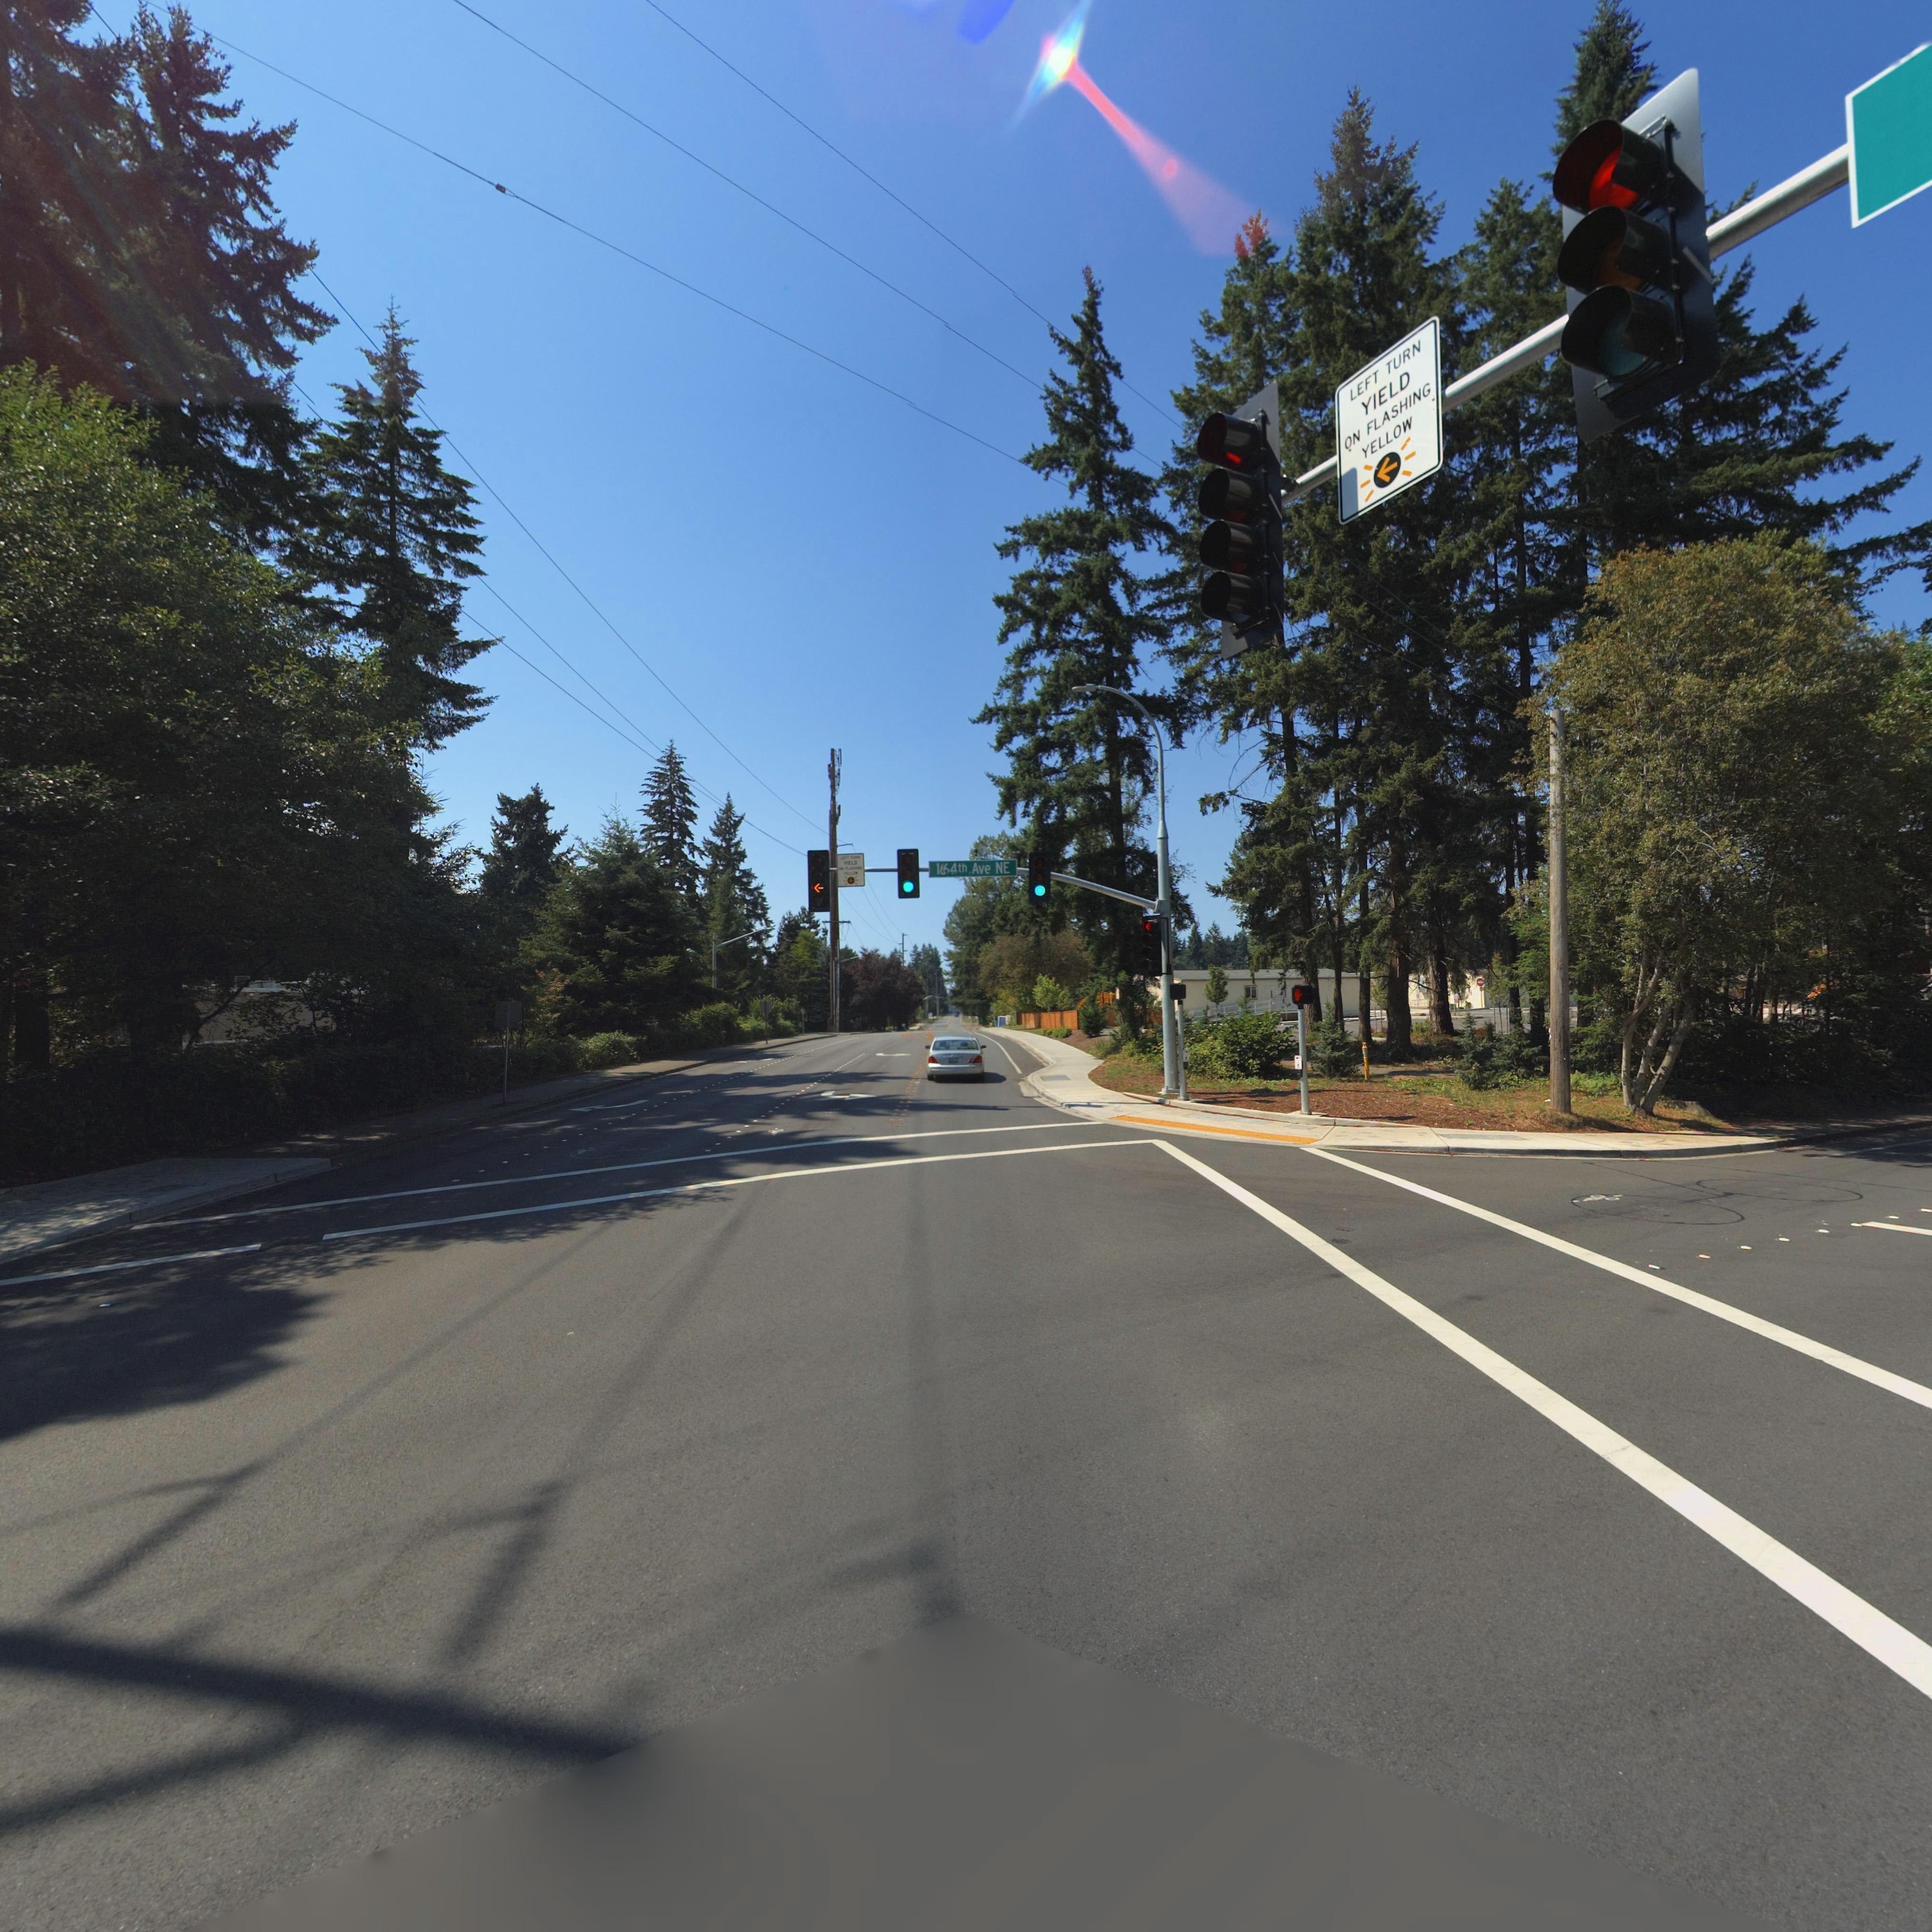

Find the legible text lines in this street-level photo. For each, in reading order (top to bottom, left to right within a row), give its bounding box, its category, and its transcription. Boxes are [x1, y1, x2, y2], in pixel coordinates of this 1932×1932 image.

[935, 860, 1009, 875] StreetName: 164th Ave NE